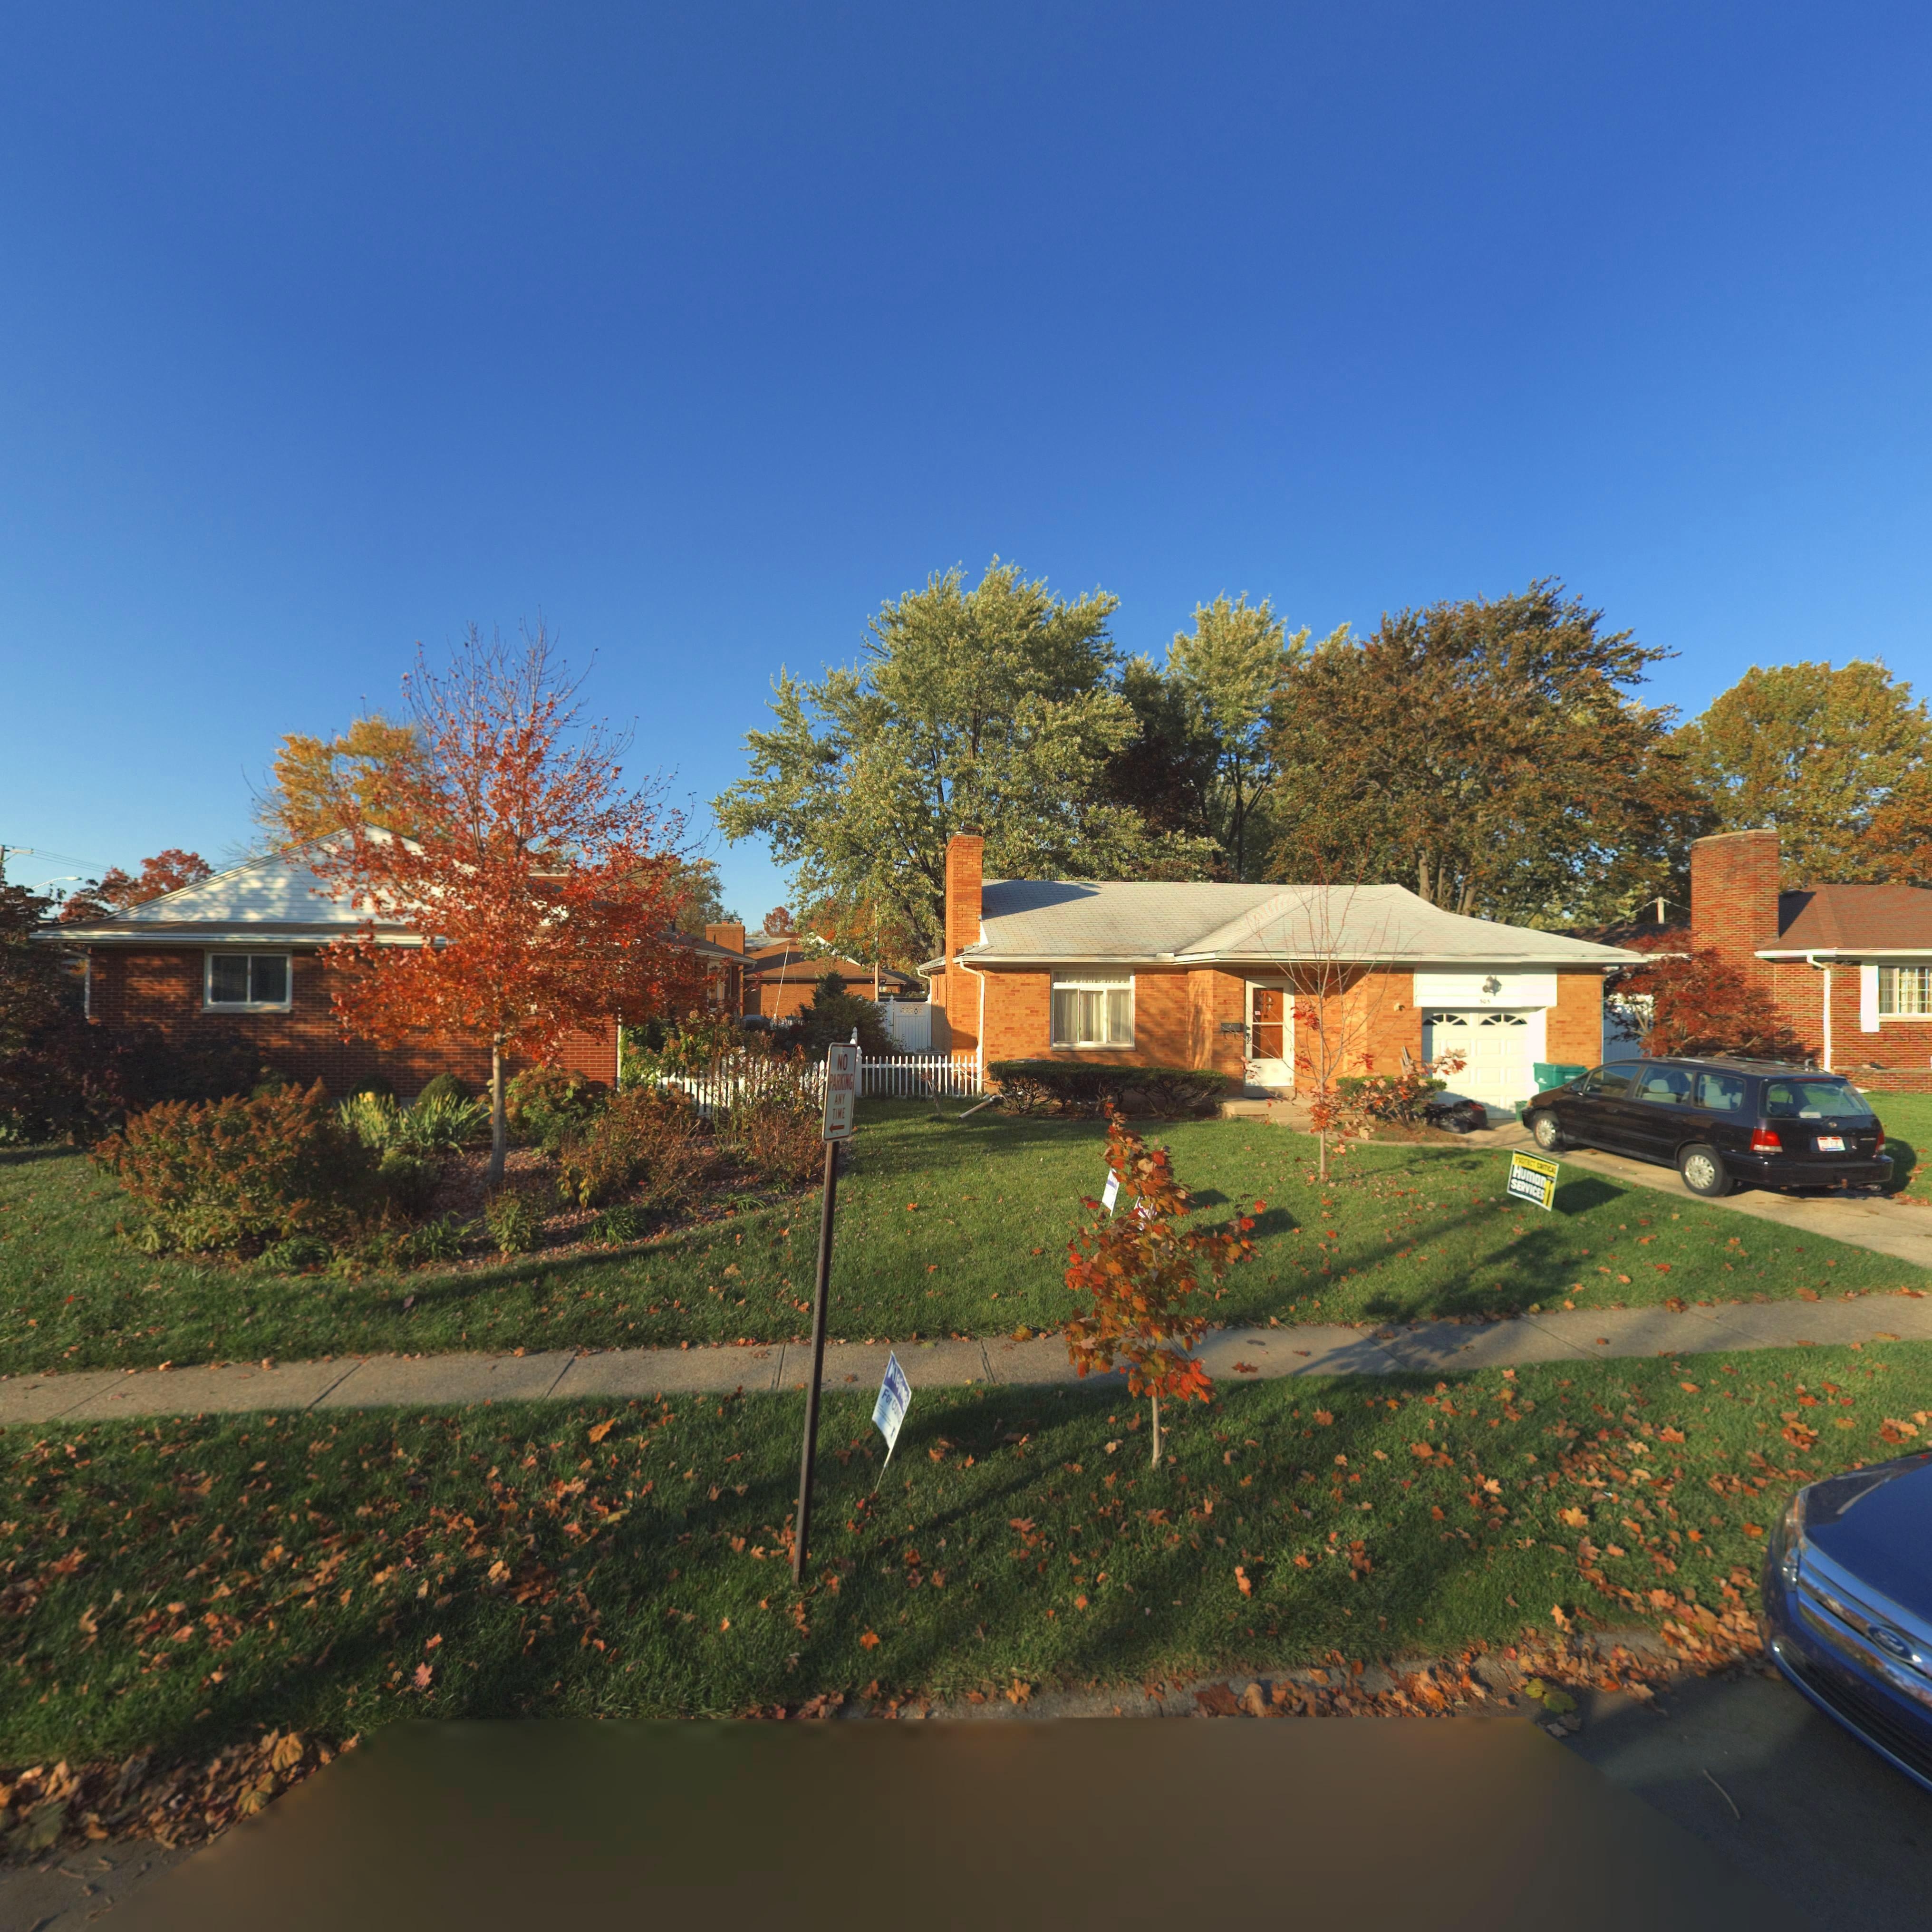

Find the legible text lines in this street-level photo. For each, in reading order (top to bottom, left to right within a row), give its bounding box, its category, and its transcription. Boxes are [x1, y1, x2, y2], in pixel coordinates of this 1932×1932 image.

[1479, 998, 1491, 1005] StreetNumber: *0*
[1542, 1179, 1556, 1210] None: \